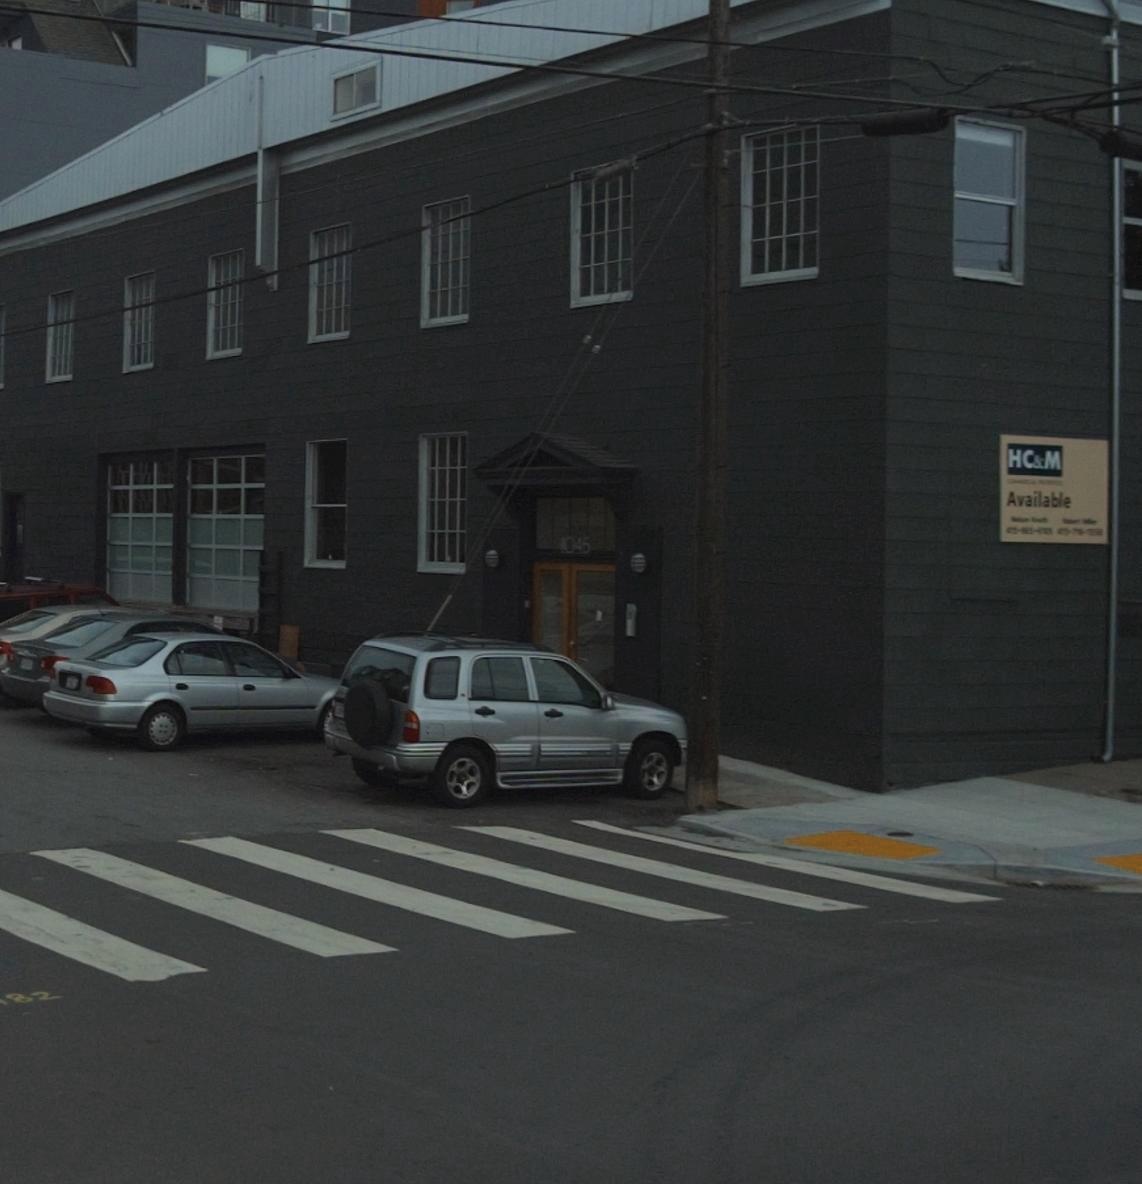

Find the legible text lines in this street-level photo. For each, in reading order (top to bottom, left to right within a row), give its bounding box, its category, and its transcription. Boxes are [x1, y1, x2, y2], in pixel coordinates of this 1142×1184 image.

[1008, 448, 1062, 471] None: HC&M
[1006, 490, 1072, 509] None: Available
[553, 536, 592, 555] StreetNumber: 1045